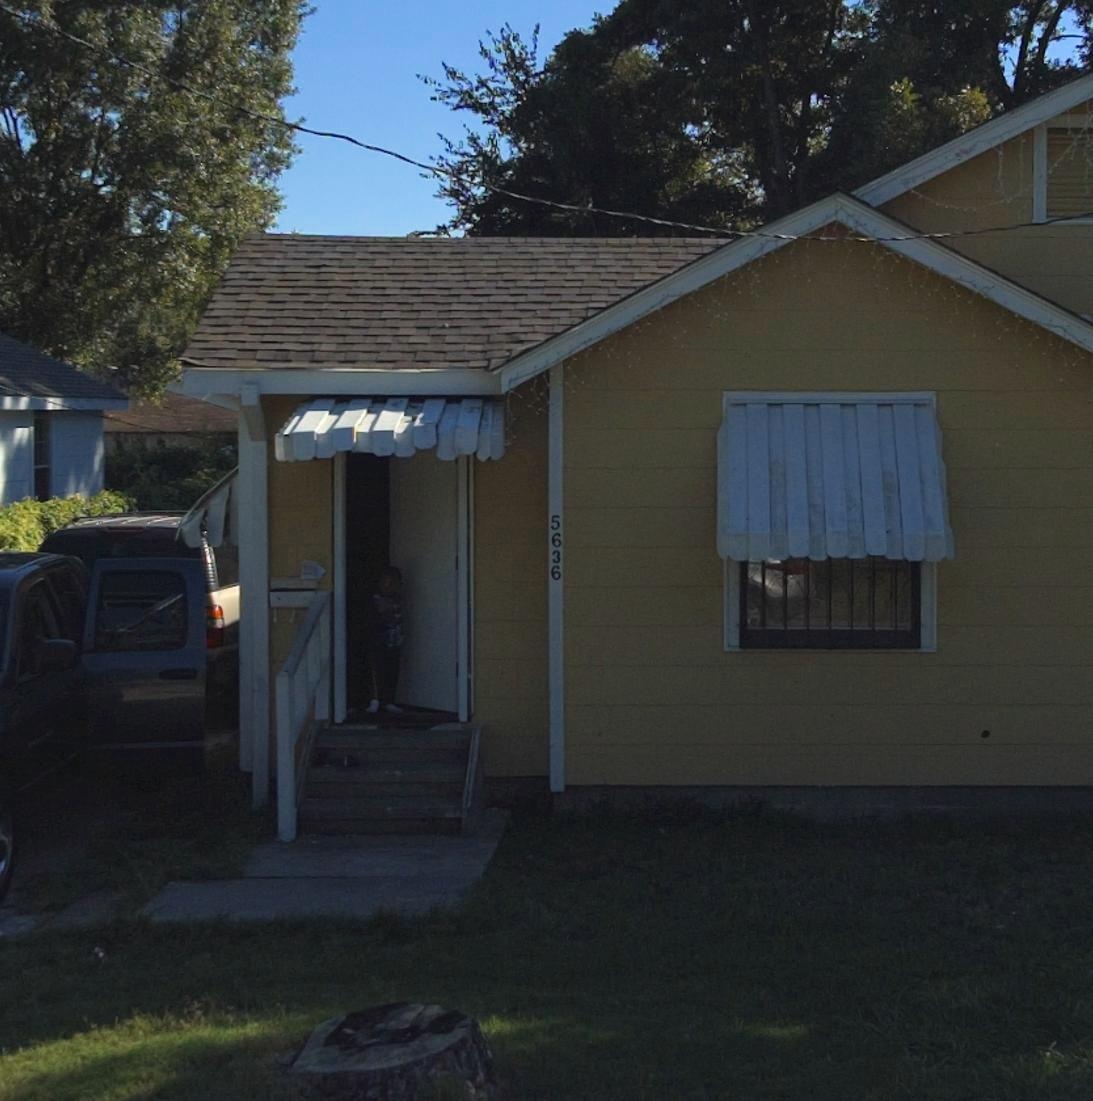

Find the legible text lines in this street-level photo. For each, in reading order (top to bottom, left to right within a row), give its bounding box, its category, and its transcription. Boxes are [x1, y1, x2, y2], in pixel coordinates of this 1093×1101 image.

[550, 513, 563, 582] StreetNumber: 5636